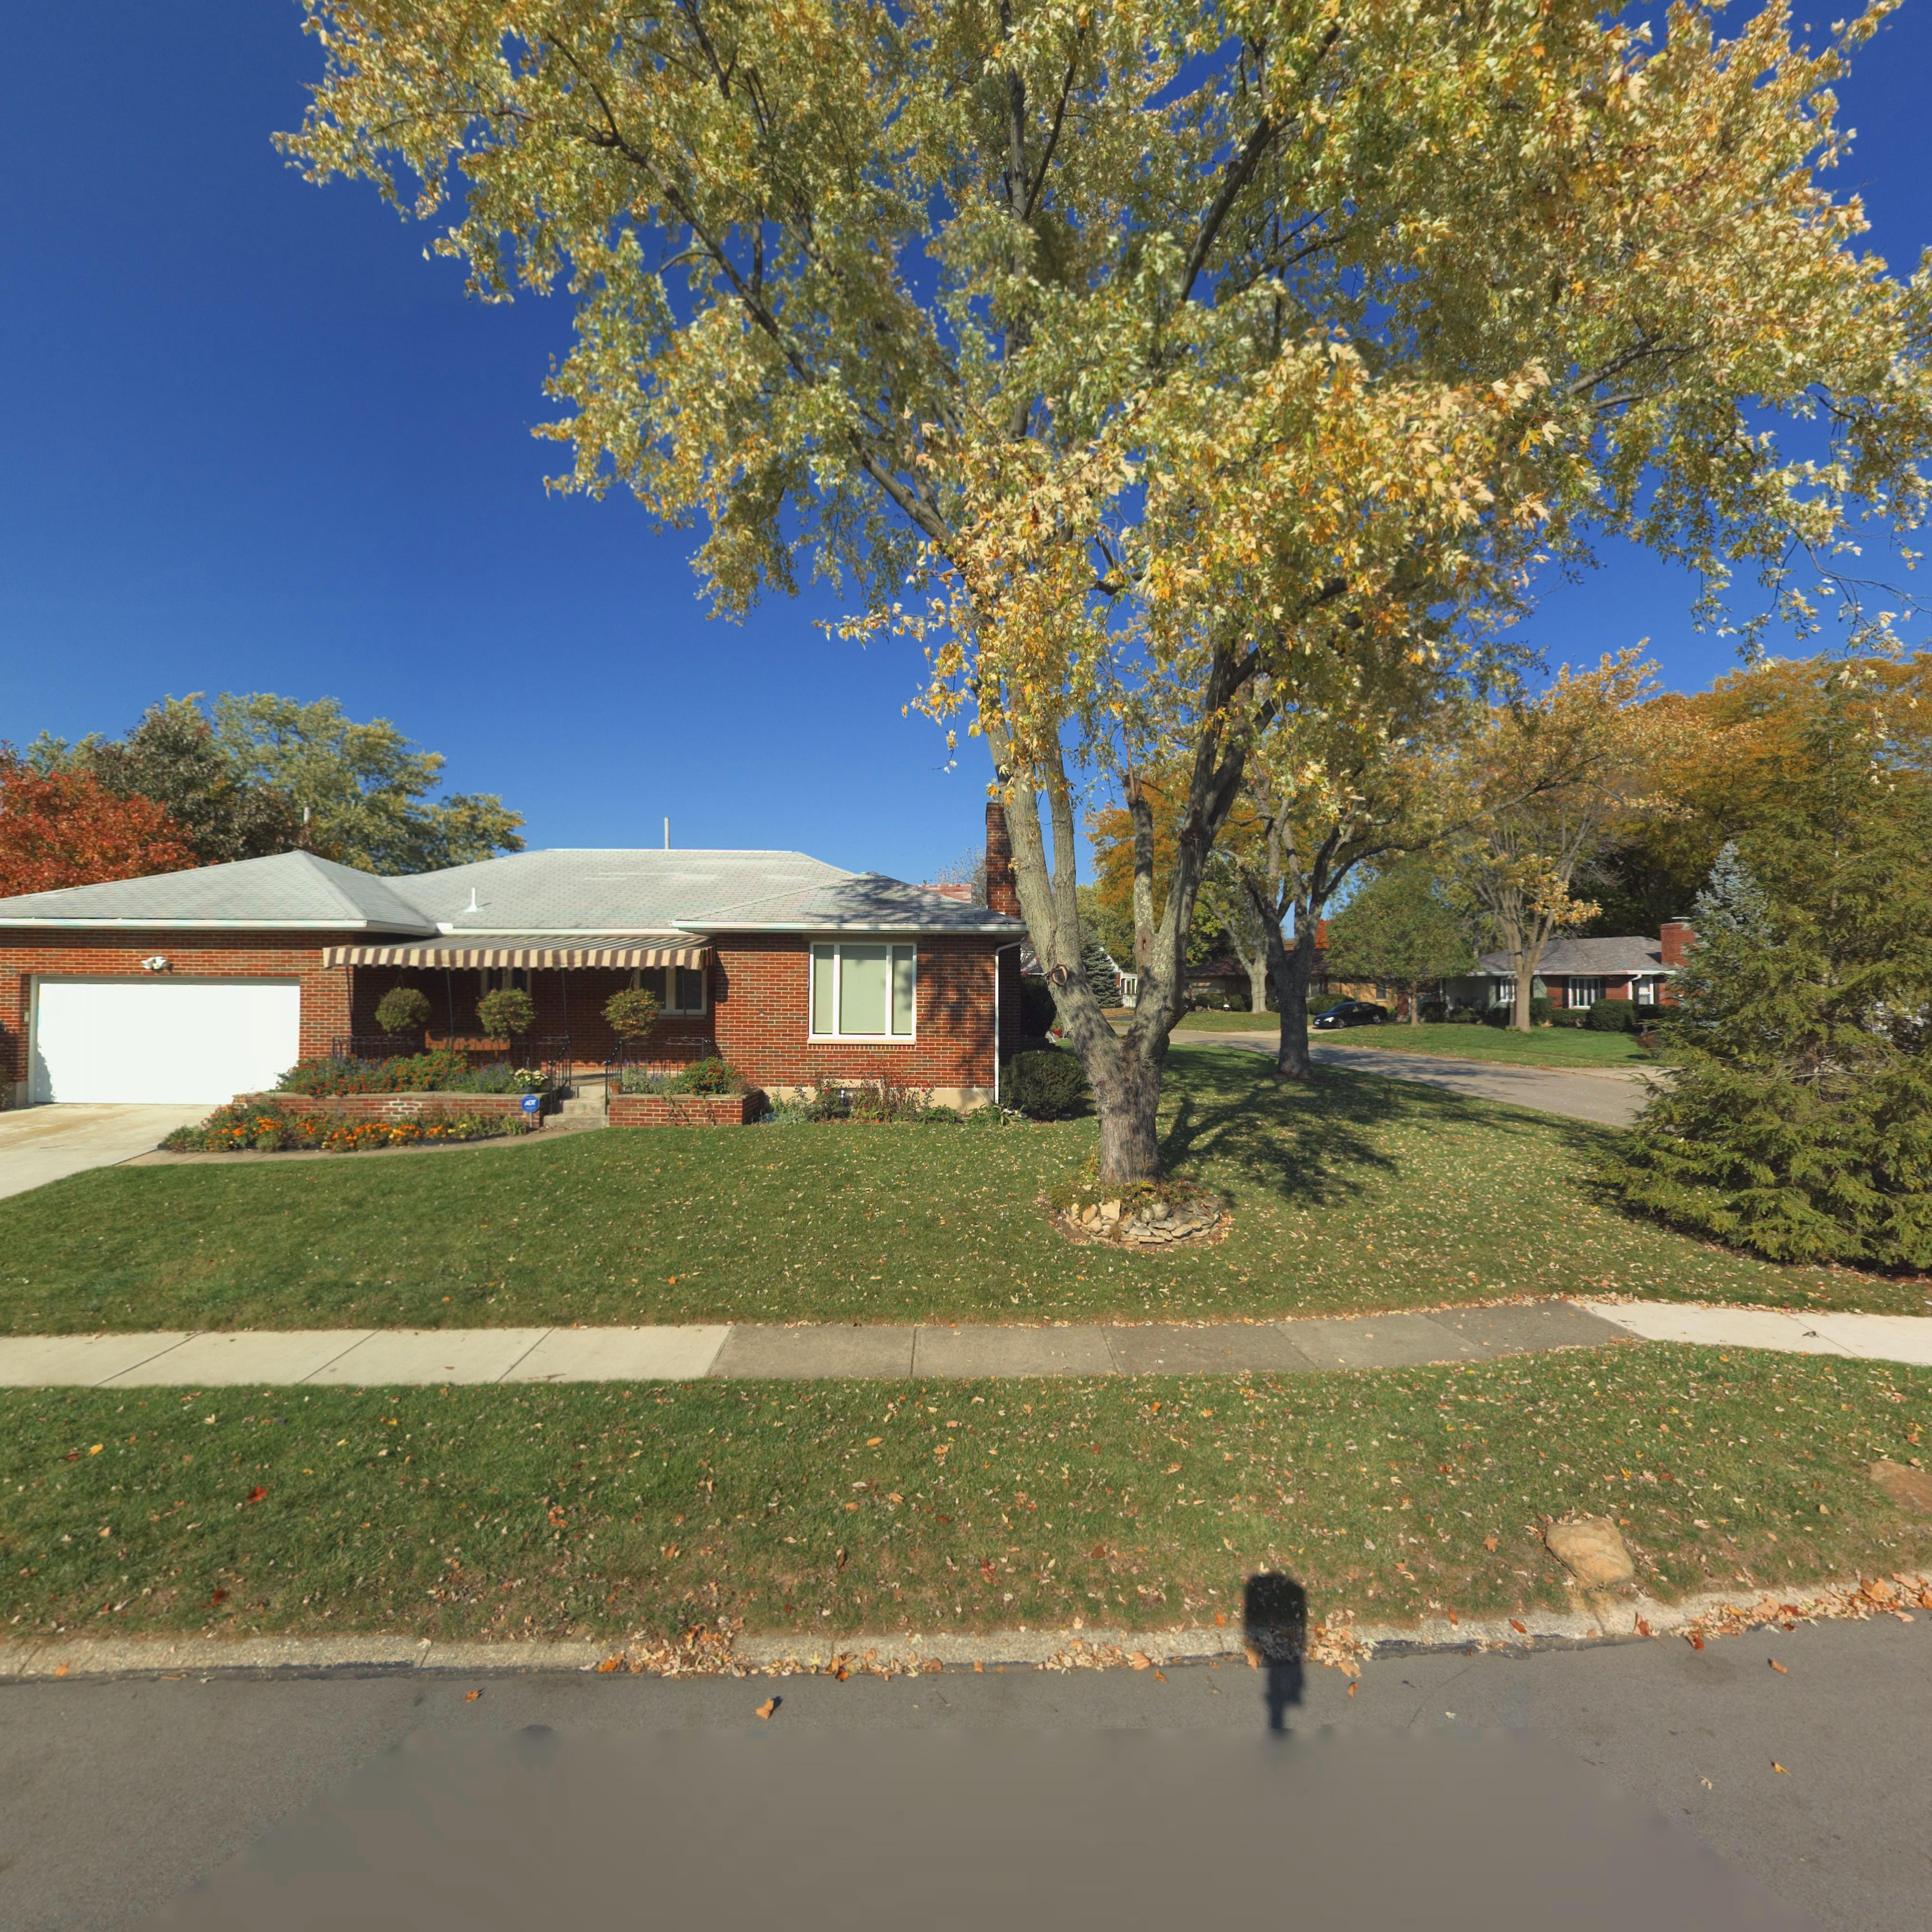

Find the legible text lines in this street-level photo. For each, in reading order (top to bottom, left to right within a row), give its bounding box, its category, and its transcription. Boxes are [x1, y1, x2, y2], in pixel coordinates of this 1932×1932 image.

[524, 1100, 537, 1106] None: ADT